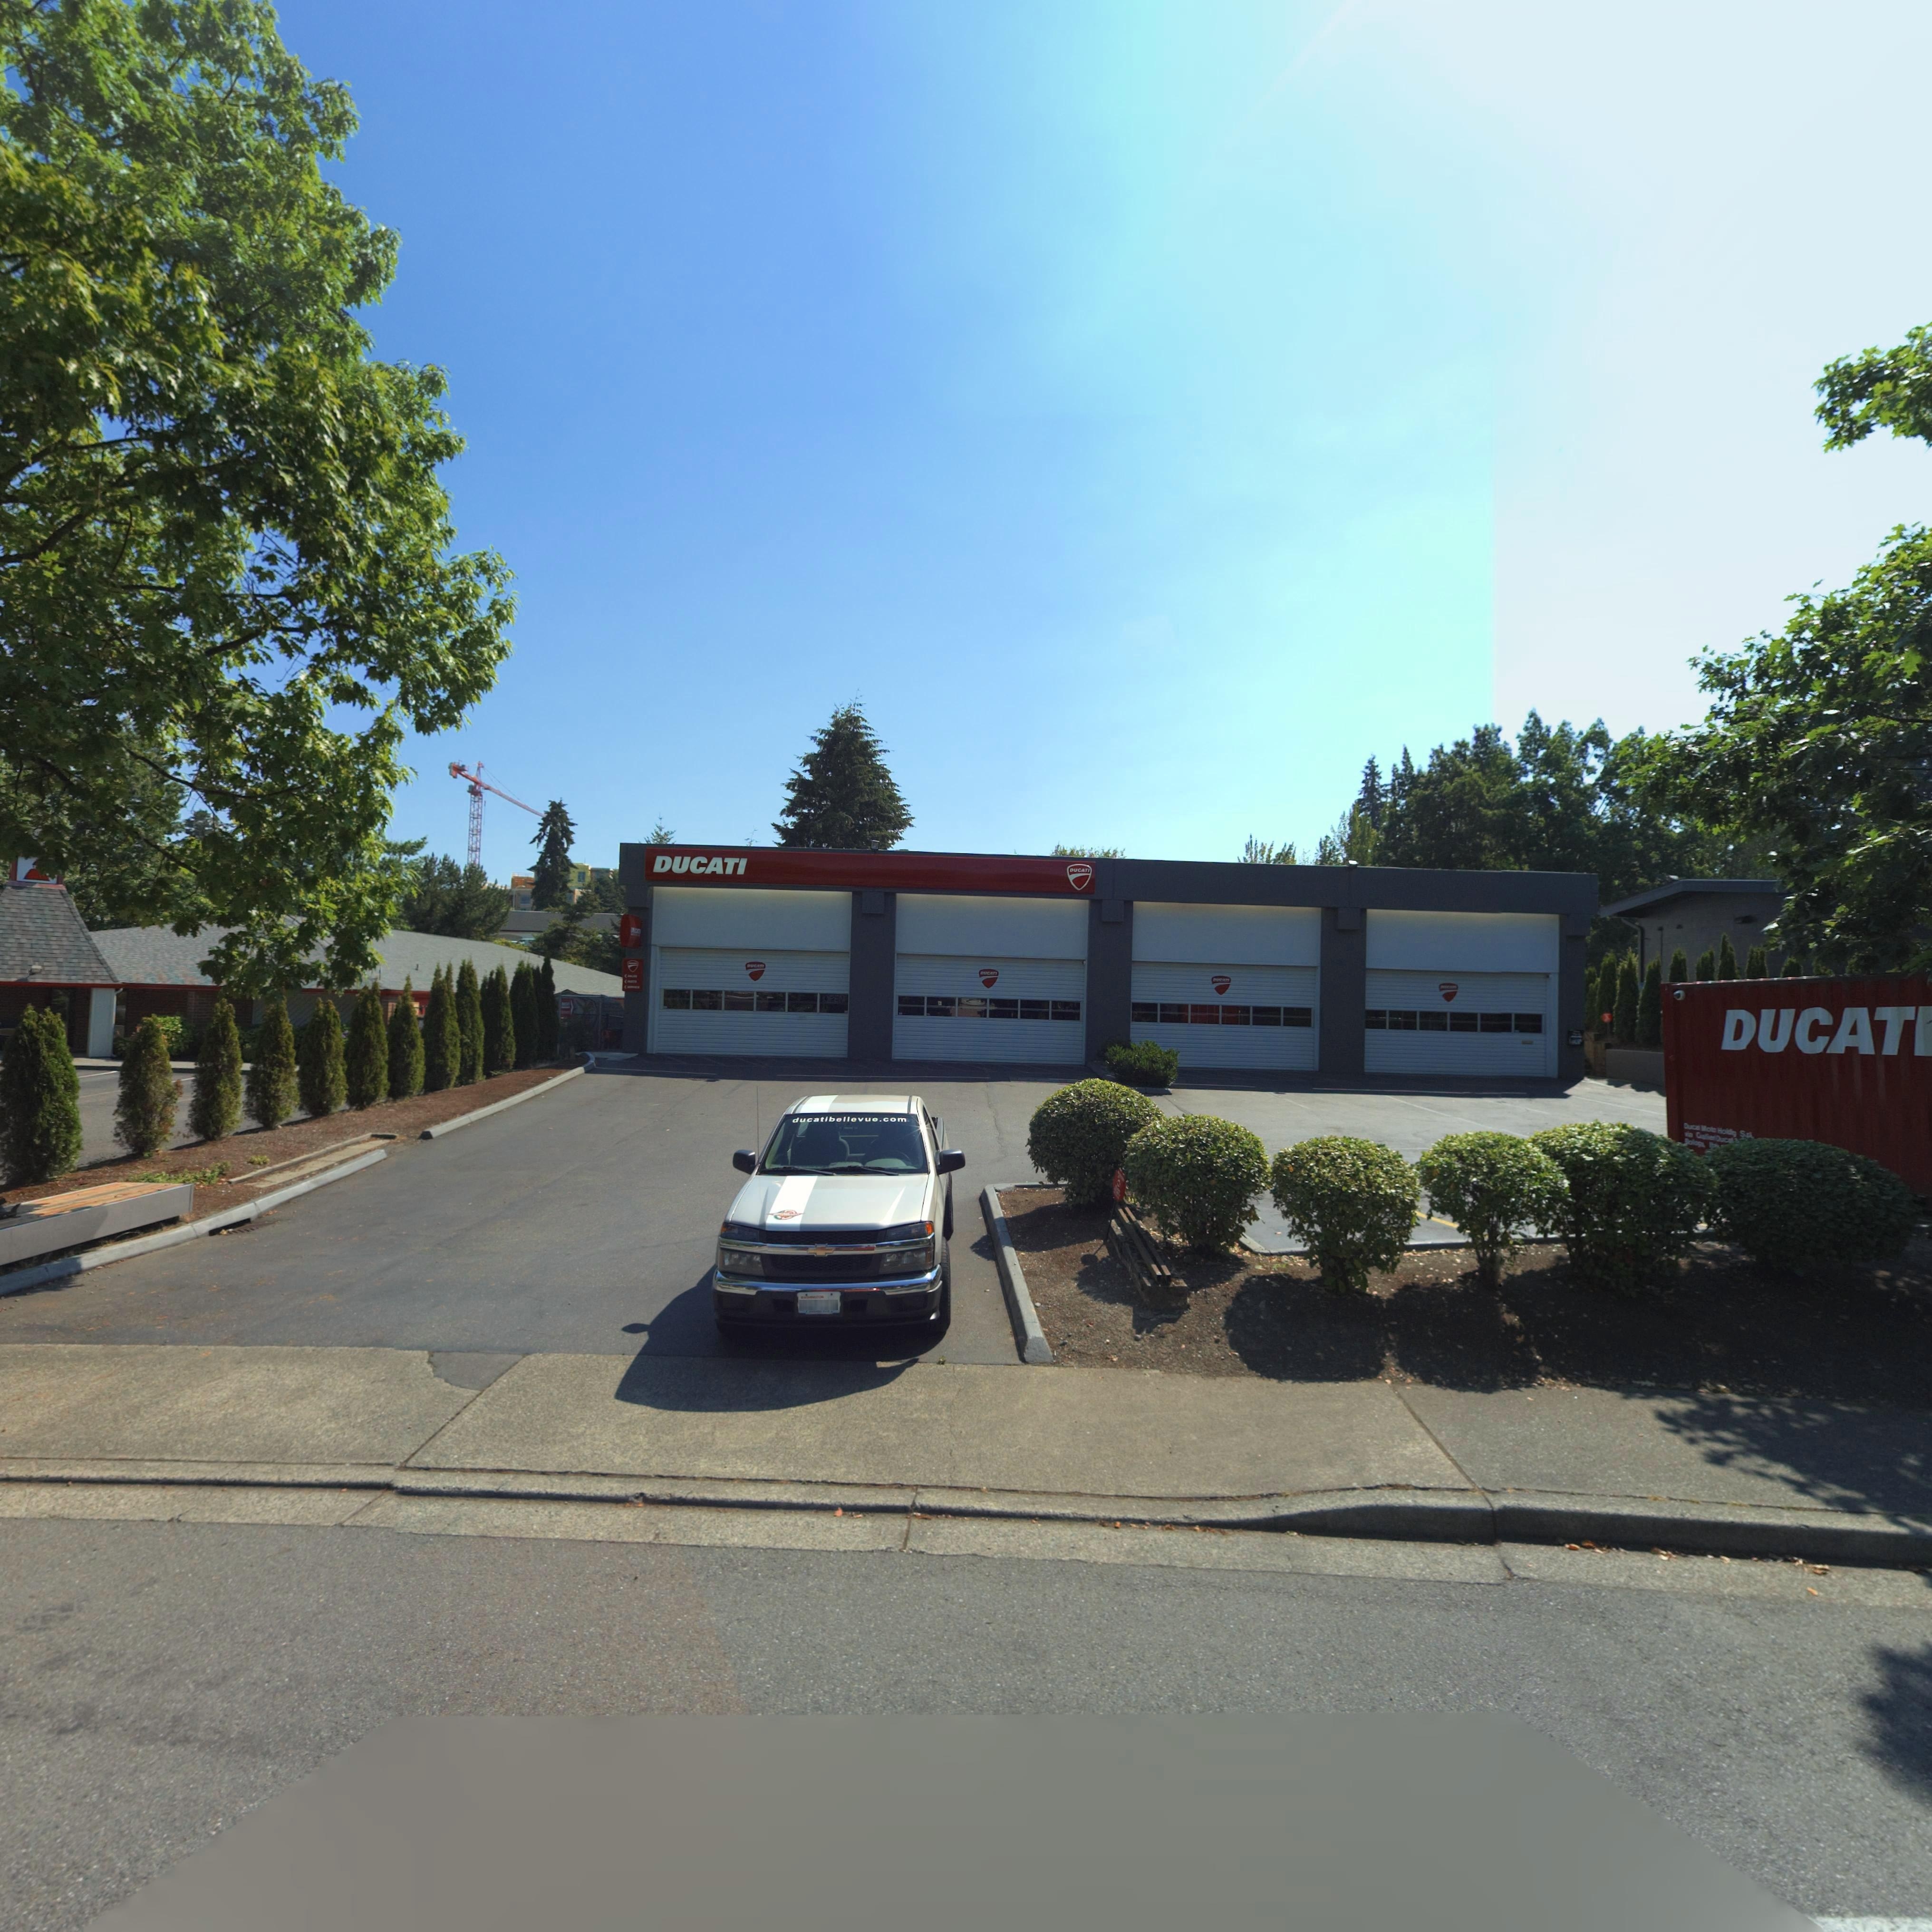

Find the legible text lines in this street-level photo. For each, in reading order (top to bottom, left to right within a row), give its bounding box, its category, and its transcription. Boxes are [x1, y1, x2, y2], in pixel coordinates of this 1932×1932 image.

[653, 856, 748, 874] BusinessName: DUCATI
[1721, 1005, 1932, 1056] BusinessName: DUCATI